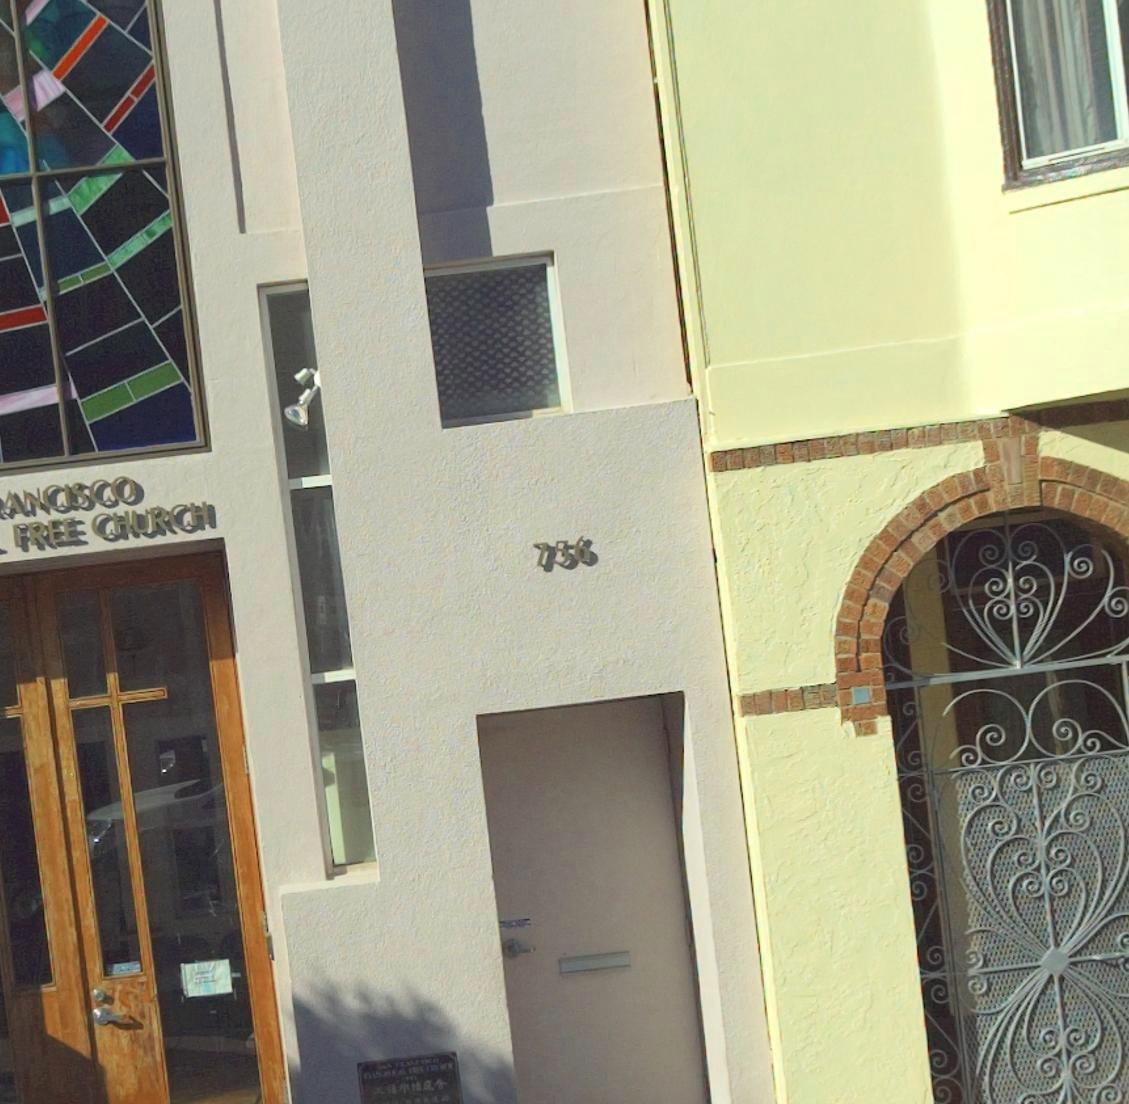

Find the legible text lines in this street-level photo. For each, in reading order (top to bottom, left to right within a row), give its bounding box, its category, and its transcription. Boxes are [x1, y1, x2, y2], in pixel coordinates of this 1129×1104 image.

[1, 473, 139, 517] BusinessName: ANCISCO
[12, 499, 212, 550] BusinessName: FREE CHURCH
[531, 533, 591, 569] StreetNumber: 756